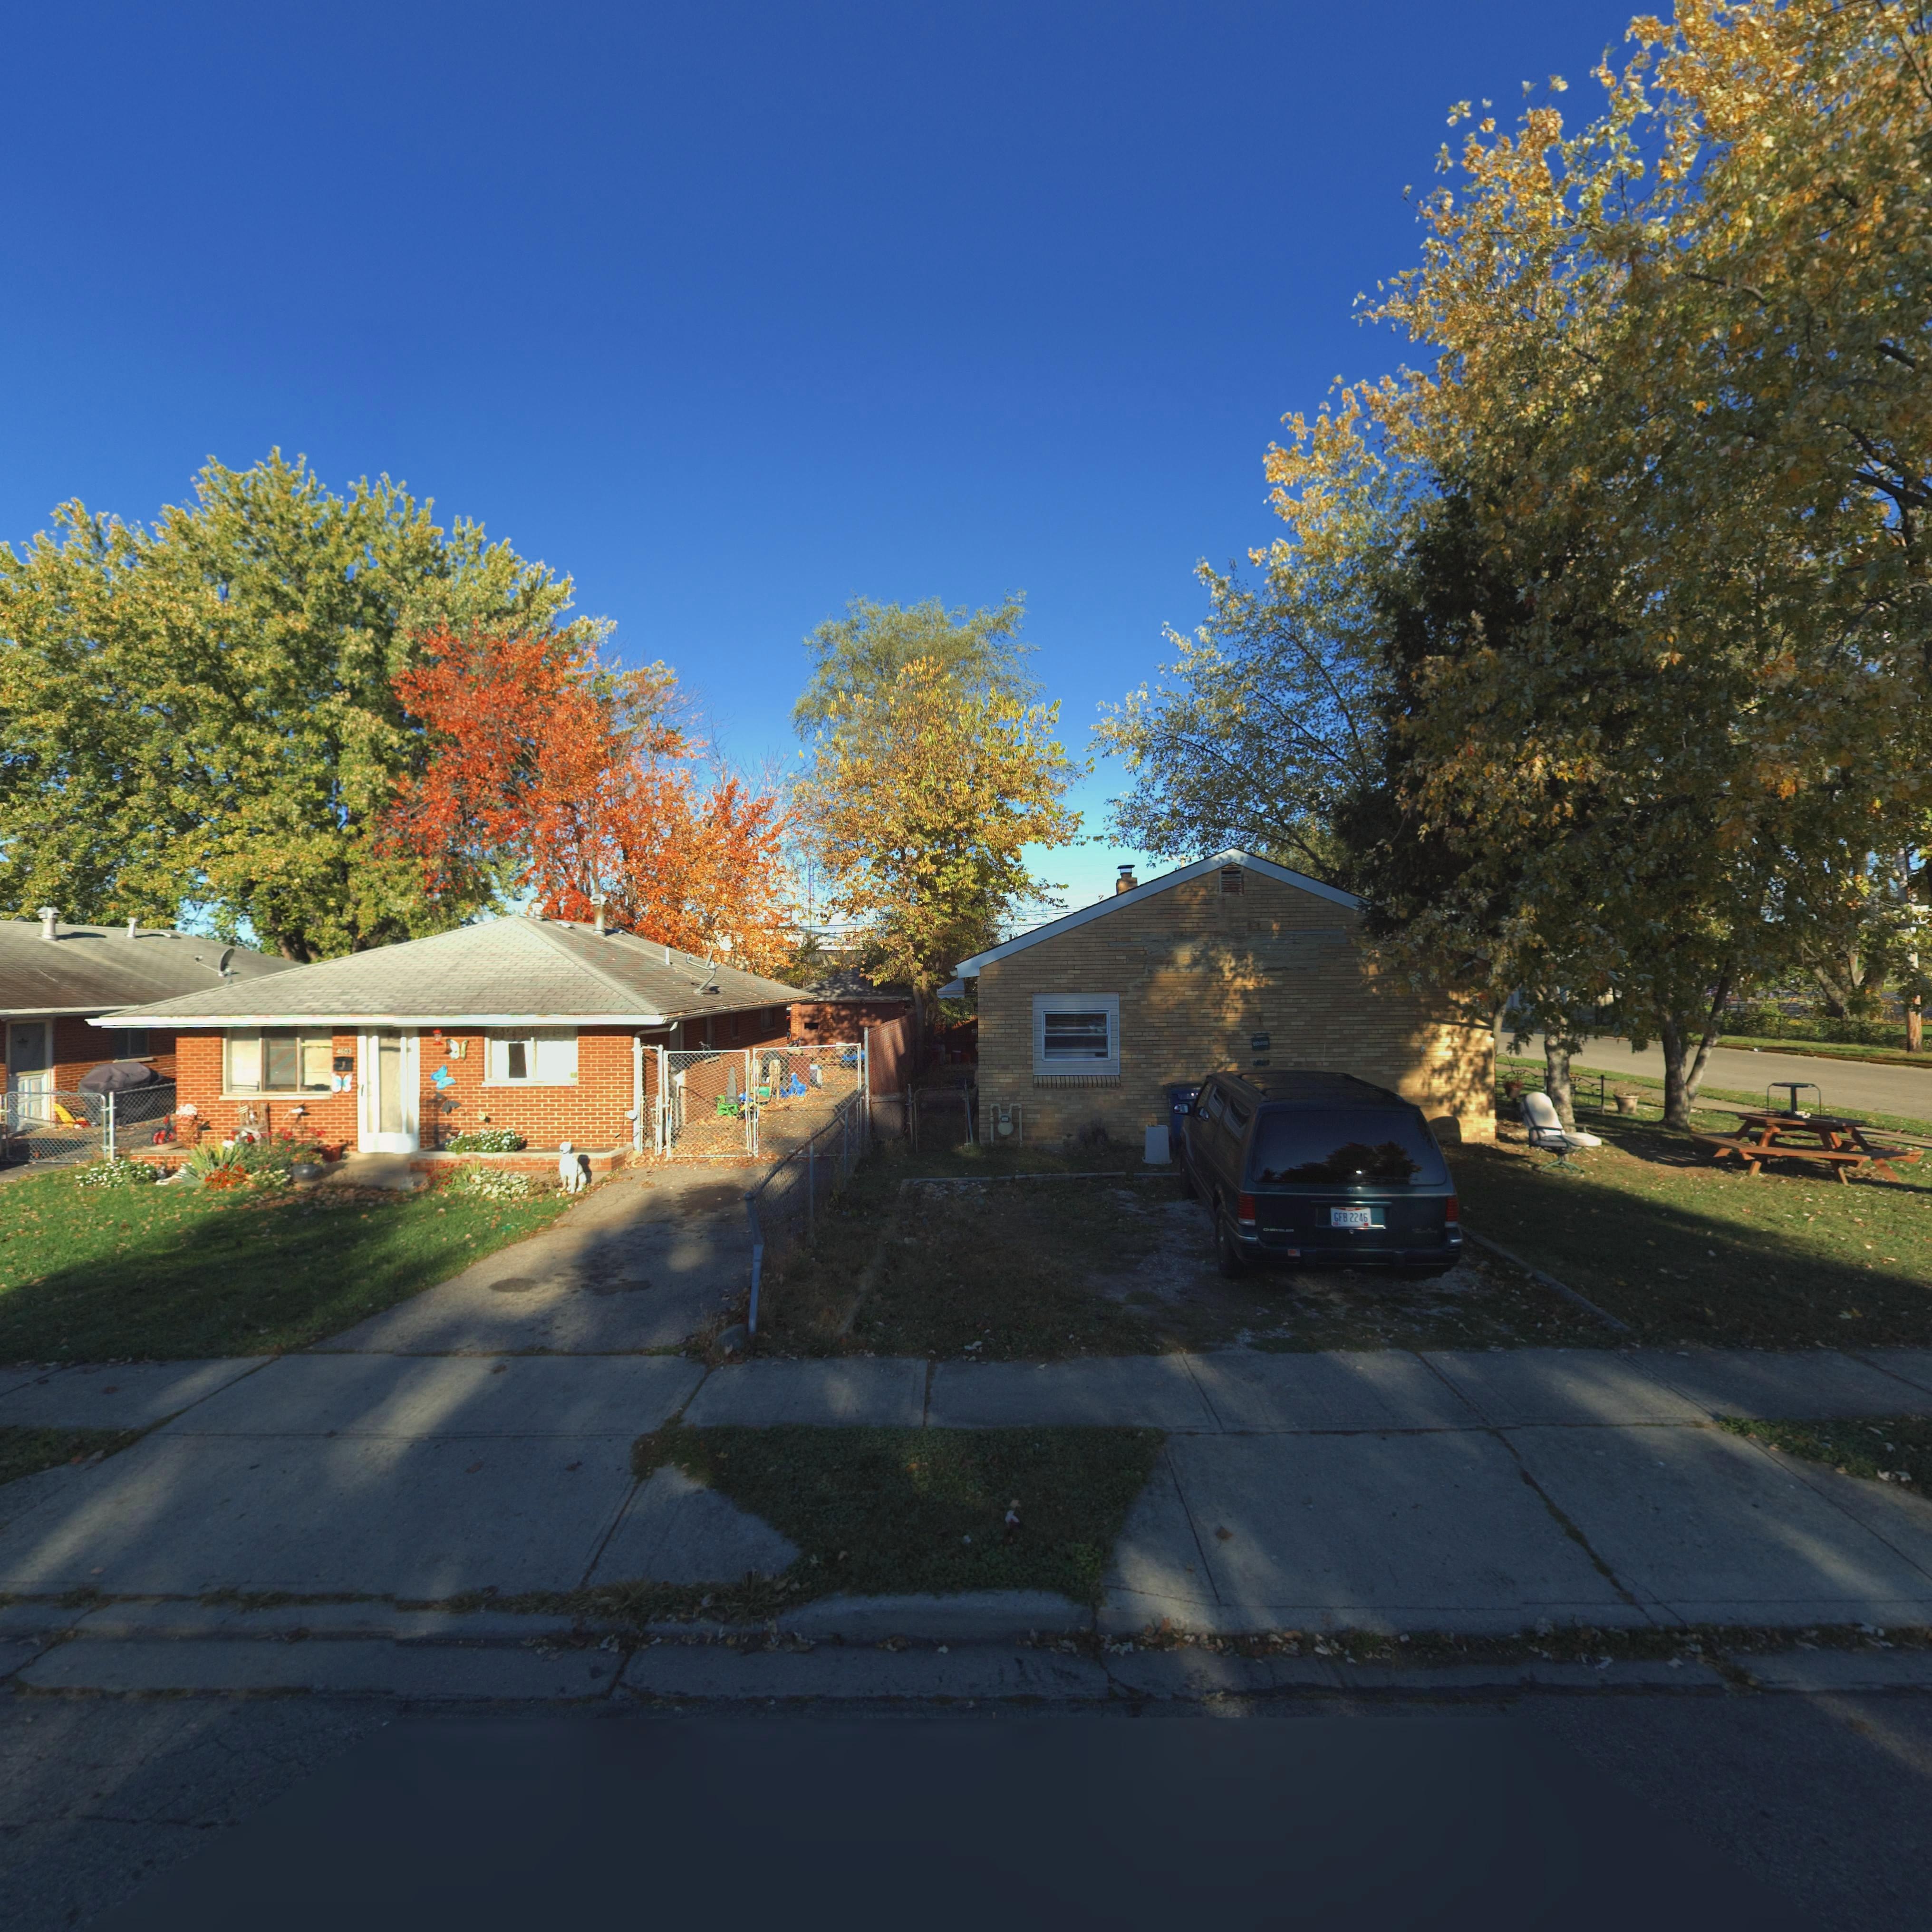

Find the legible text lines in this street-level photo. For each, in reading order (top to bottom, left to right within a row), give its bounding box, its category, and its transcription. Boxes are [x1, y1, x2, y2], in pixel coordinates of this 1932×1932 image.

[336, 1047, 352, 1054] StreetNumber: 4603